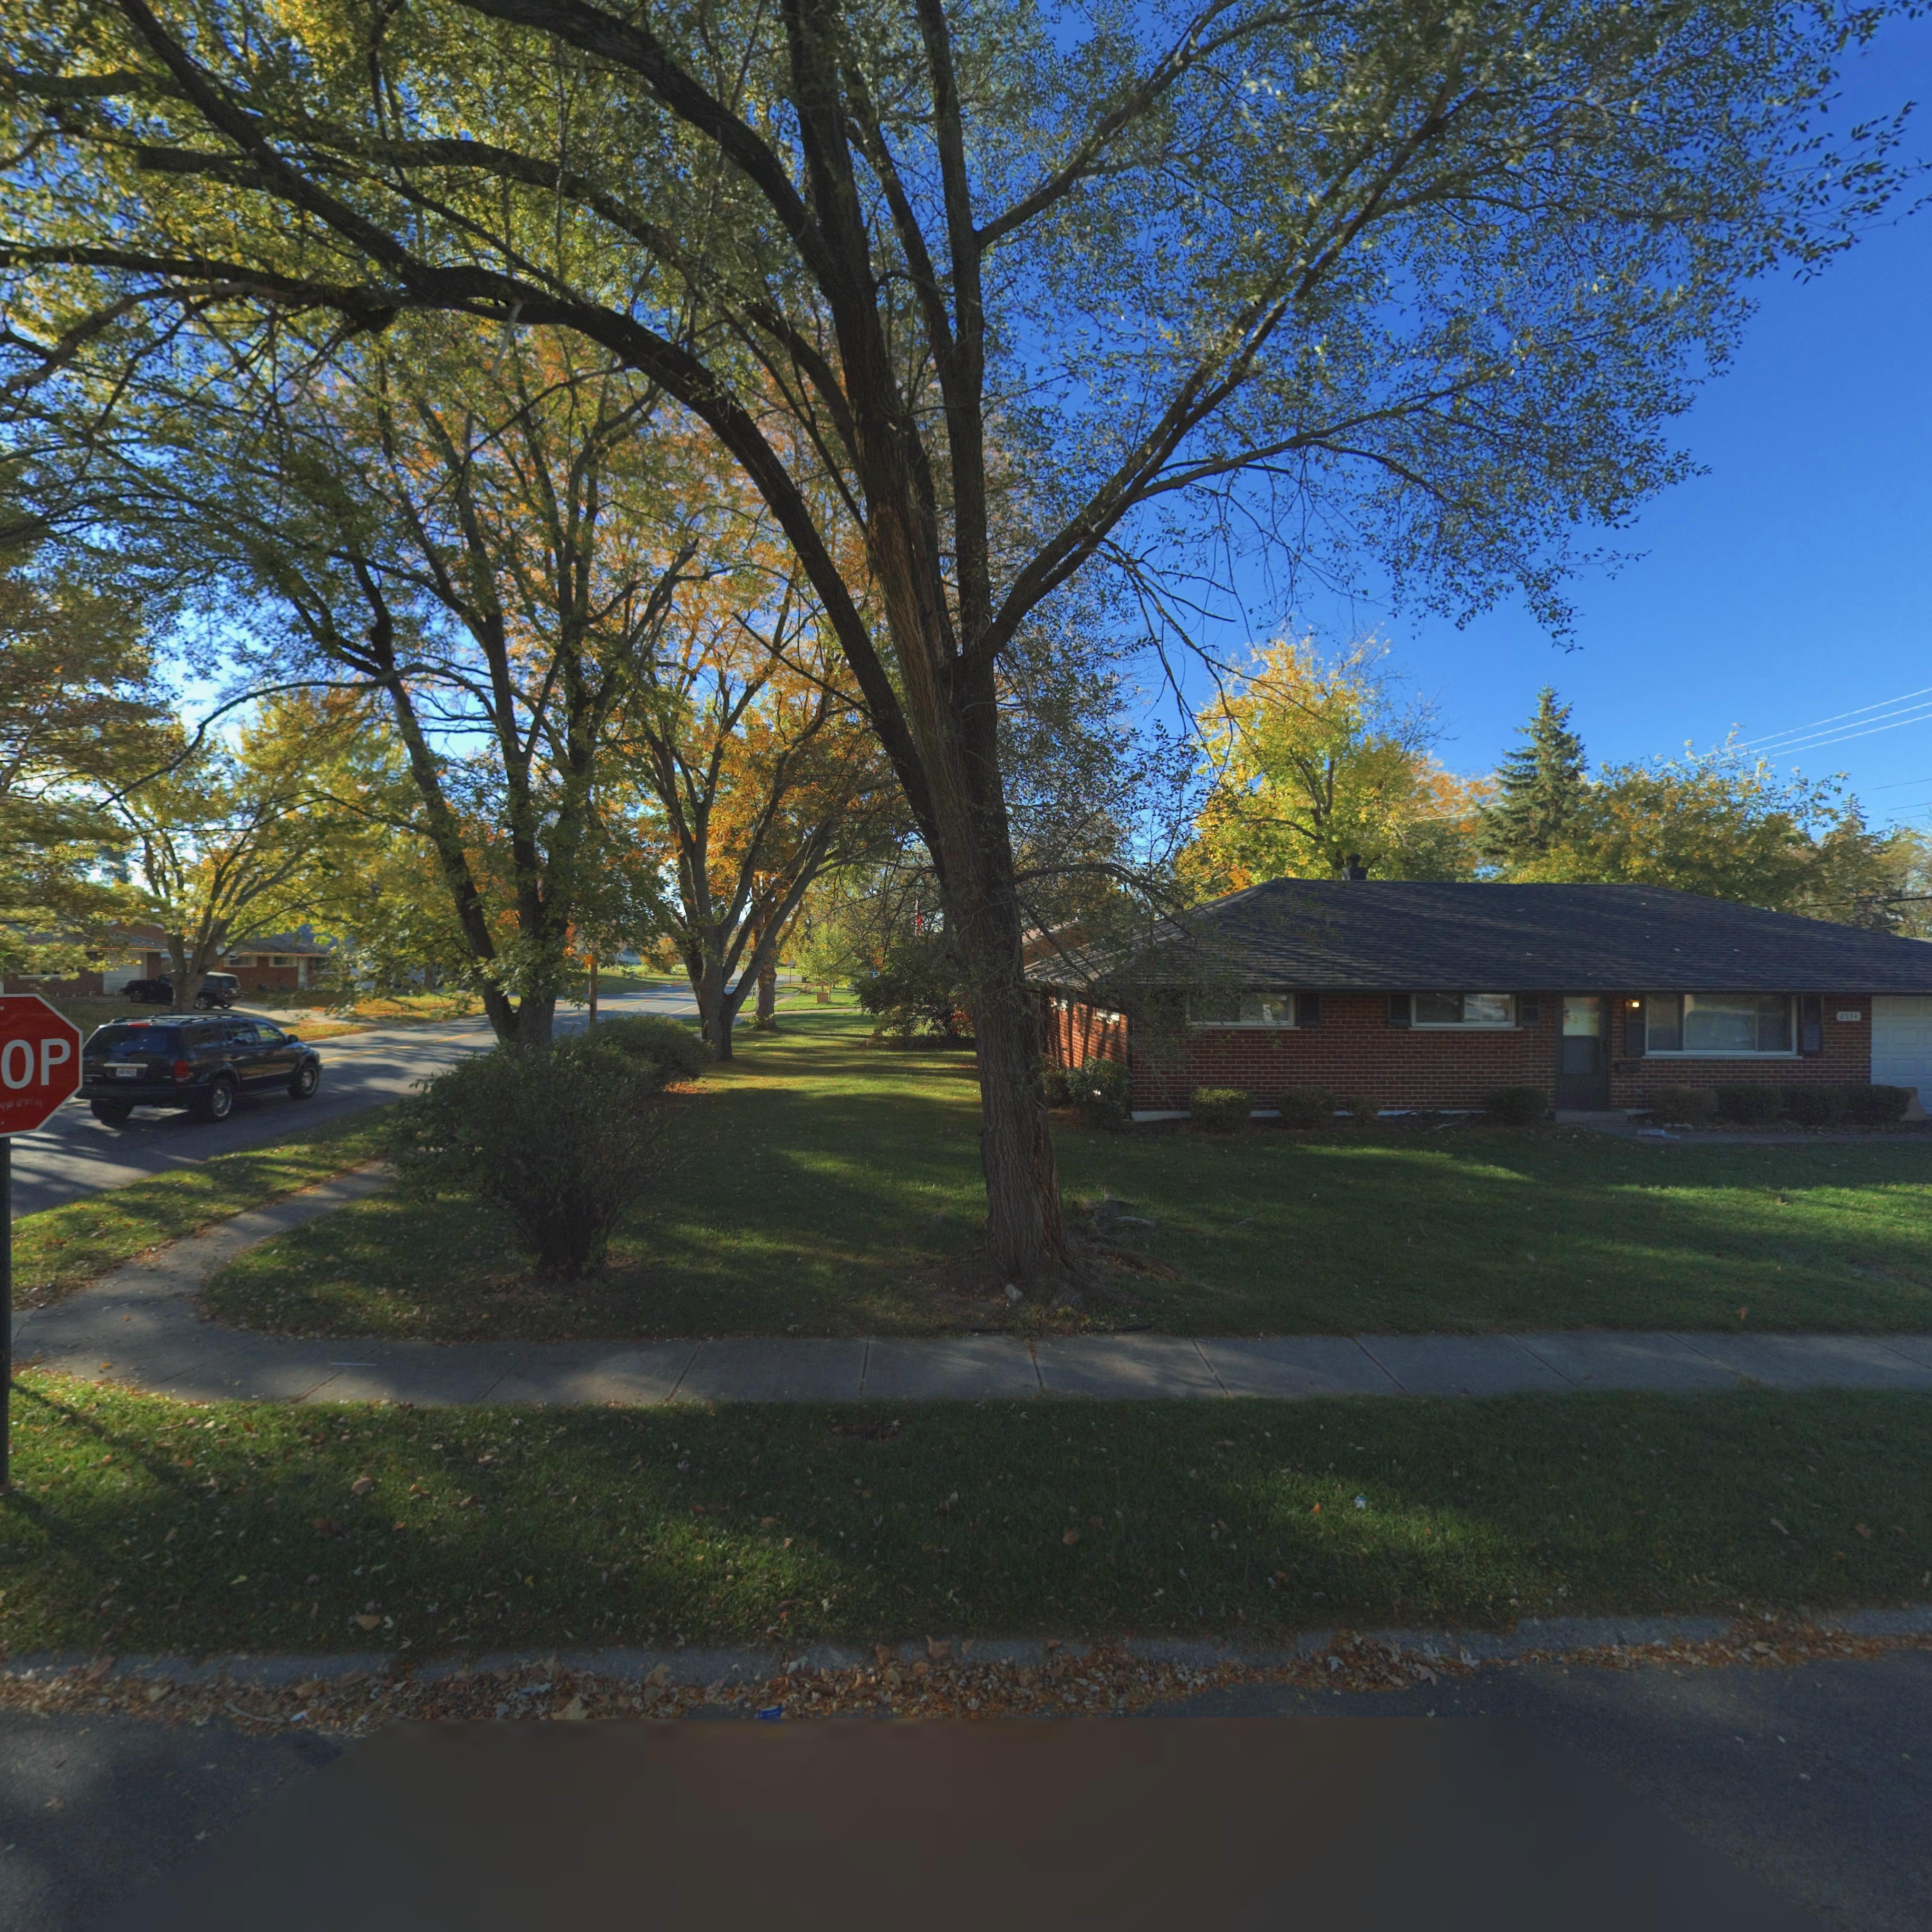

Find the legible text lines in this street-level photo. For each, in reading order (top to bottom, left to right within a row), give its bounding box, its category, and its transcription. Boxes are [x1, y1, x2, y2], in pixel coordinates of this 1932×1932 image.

[1839, 1013, 1857, 1020] StreetNumber: 2534